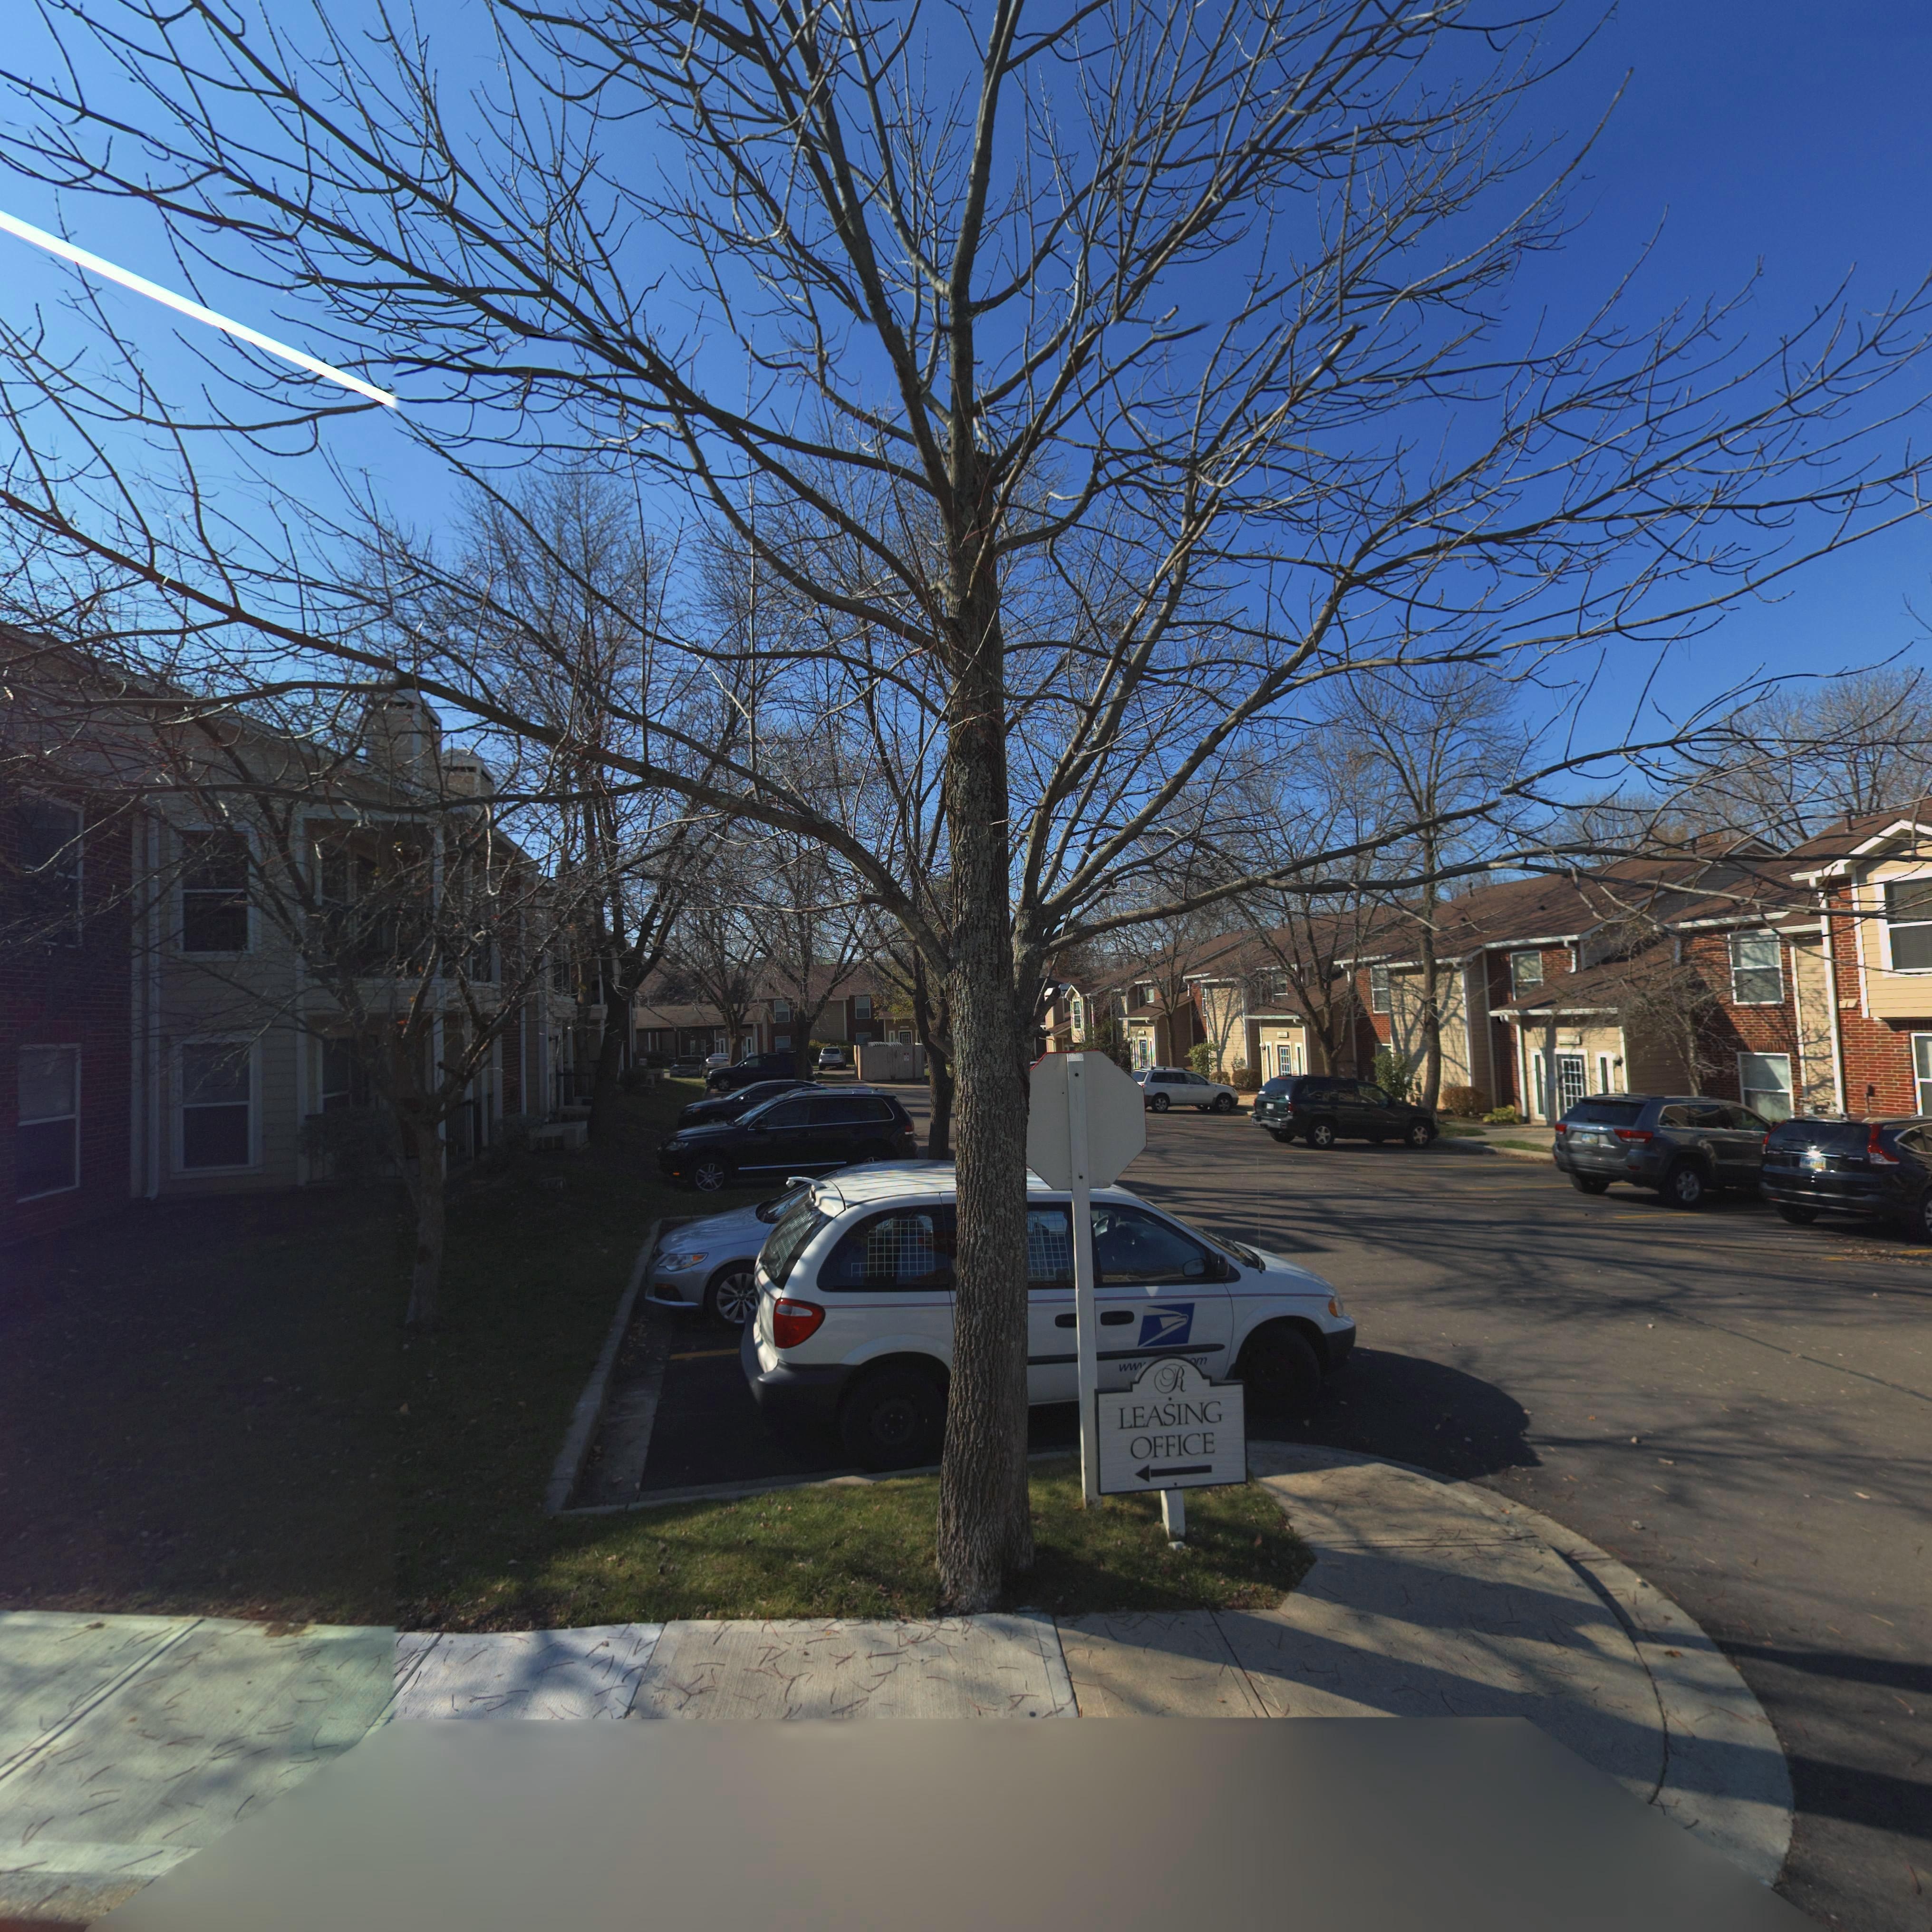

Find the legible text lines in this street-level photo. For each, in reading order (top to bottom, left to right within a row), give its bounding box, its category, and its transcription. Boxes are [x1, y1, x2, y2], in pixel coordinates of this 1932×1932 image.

[1118, 1361, 1140, 1372] None: ww
[1195, 1355, 1207, 1365] None: m
[1117, 1400, 1223, 1430] None: LEASING
[1130, 1430, 1216, 1460] None: OFFICE